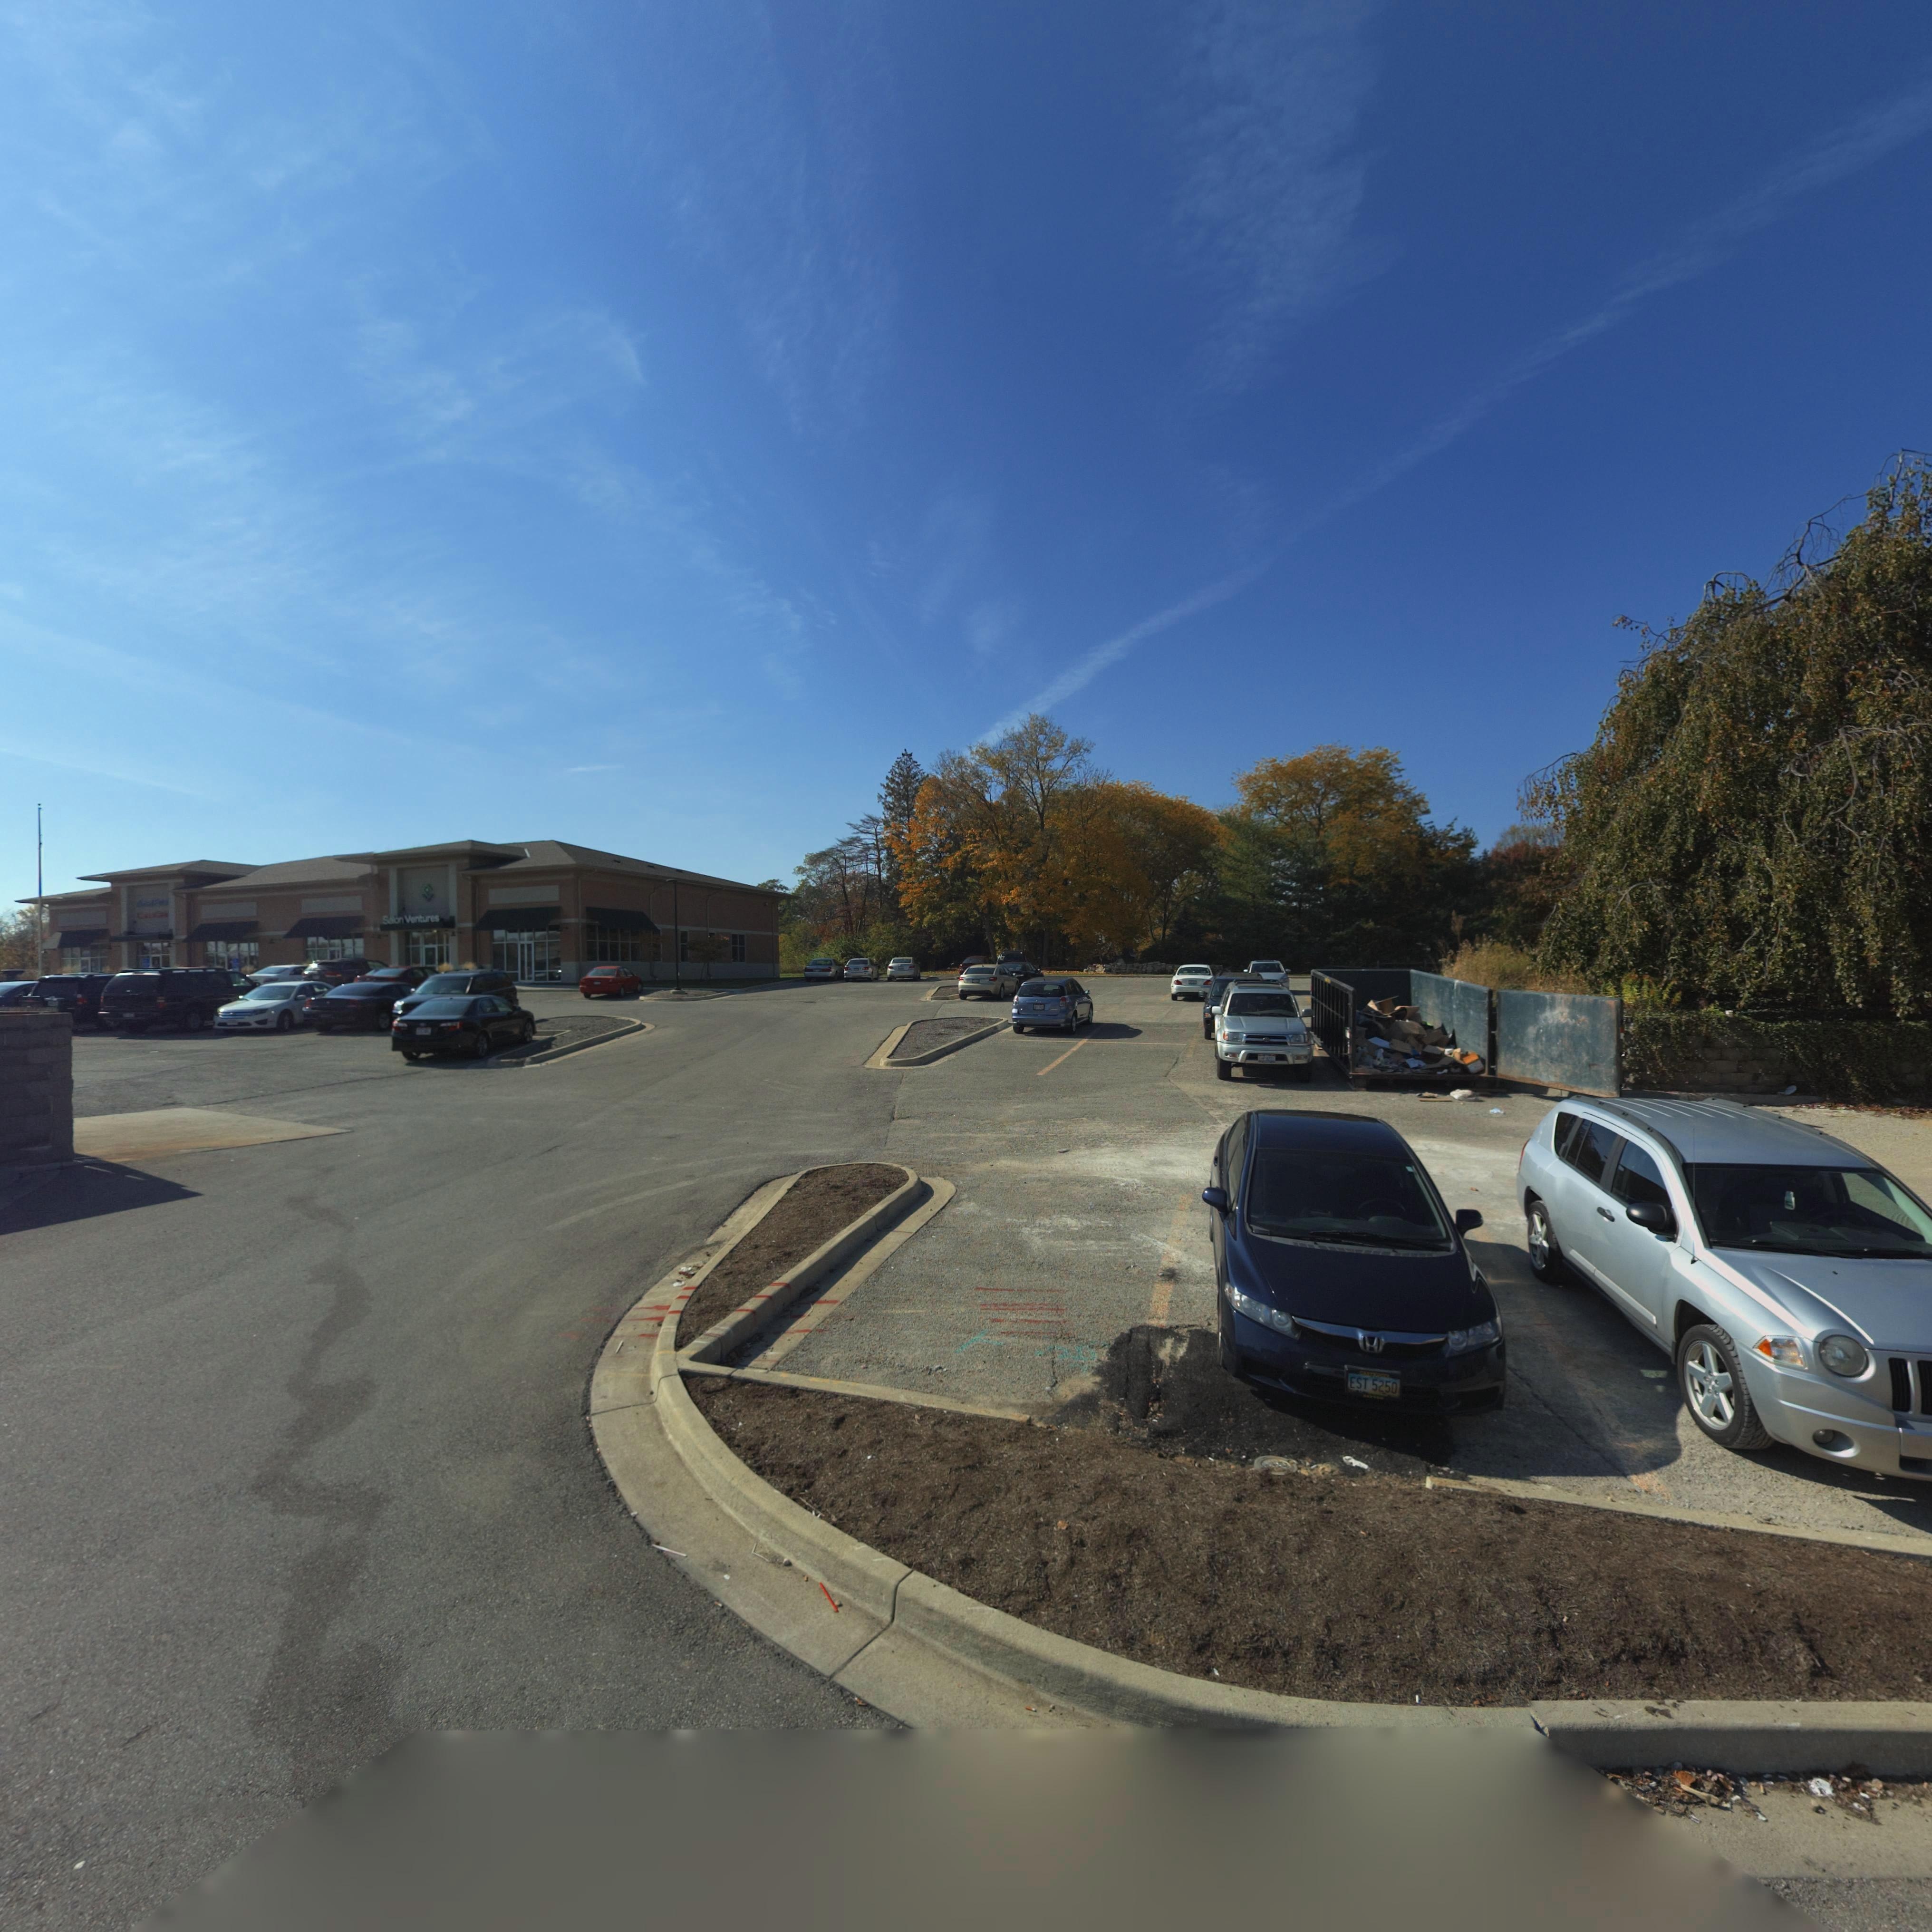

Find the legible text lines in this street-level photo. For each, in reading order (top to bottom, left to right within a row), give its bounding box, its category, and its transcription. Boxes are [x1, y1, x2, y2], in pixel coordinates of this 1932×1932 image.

[381, 913, 442, 927] BusinessName: Salon Ventures